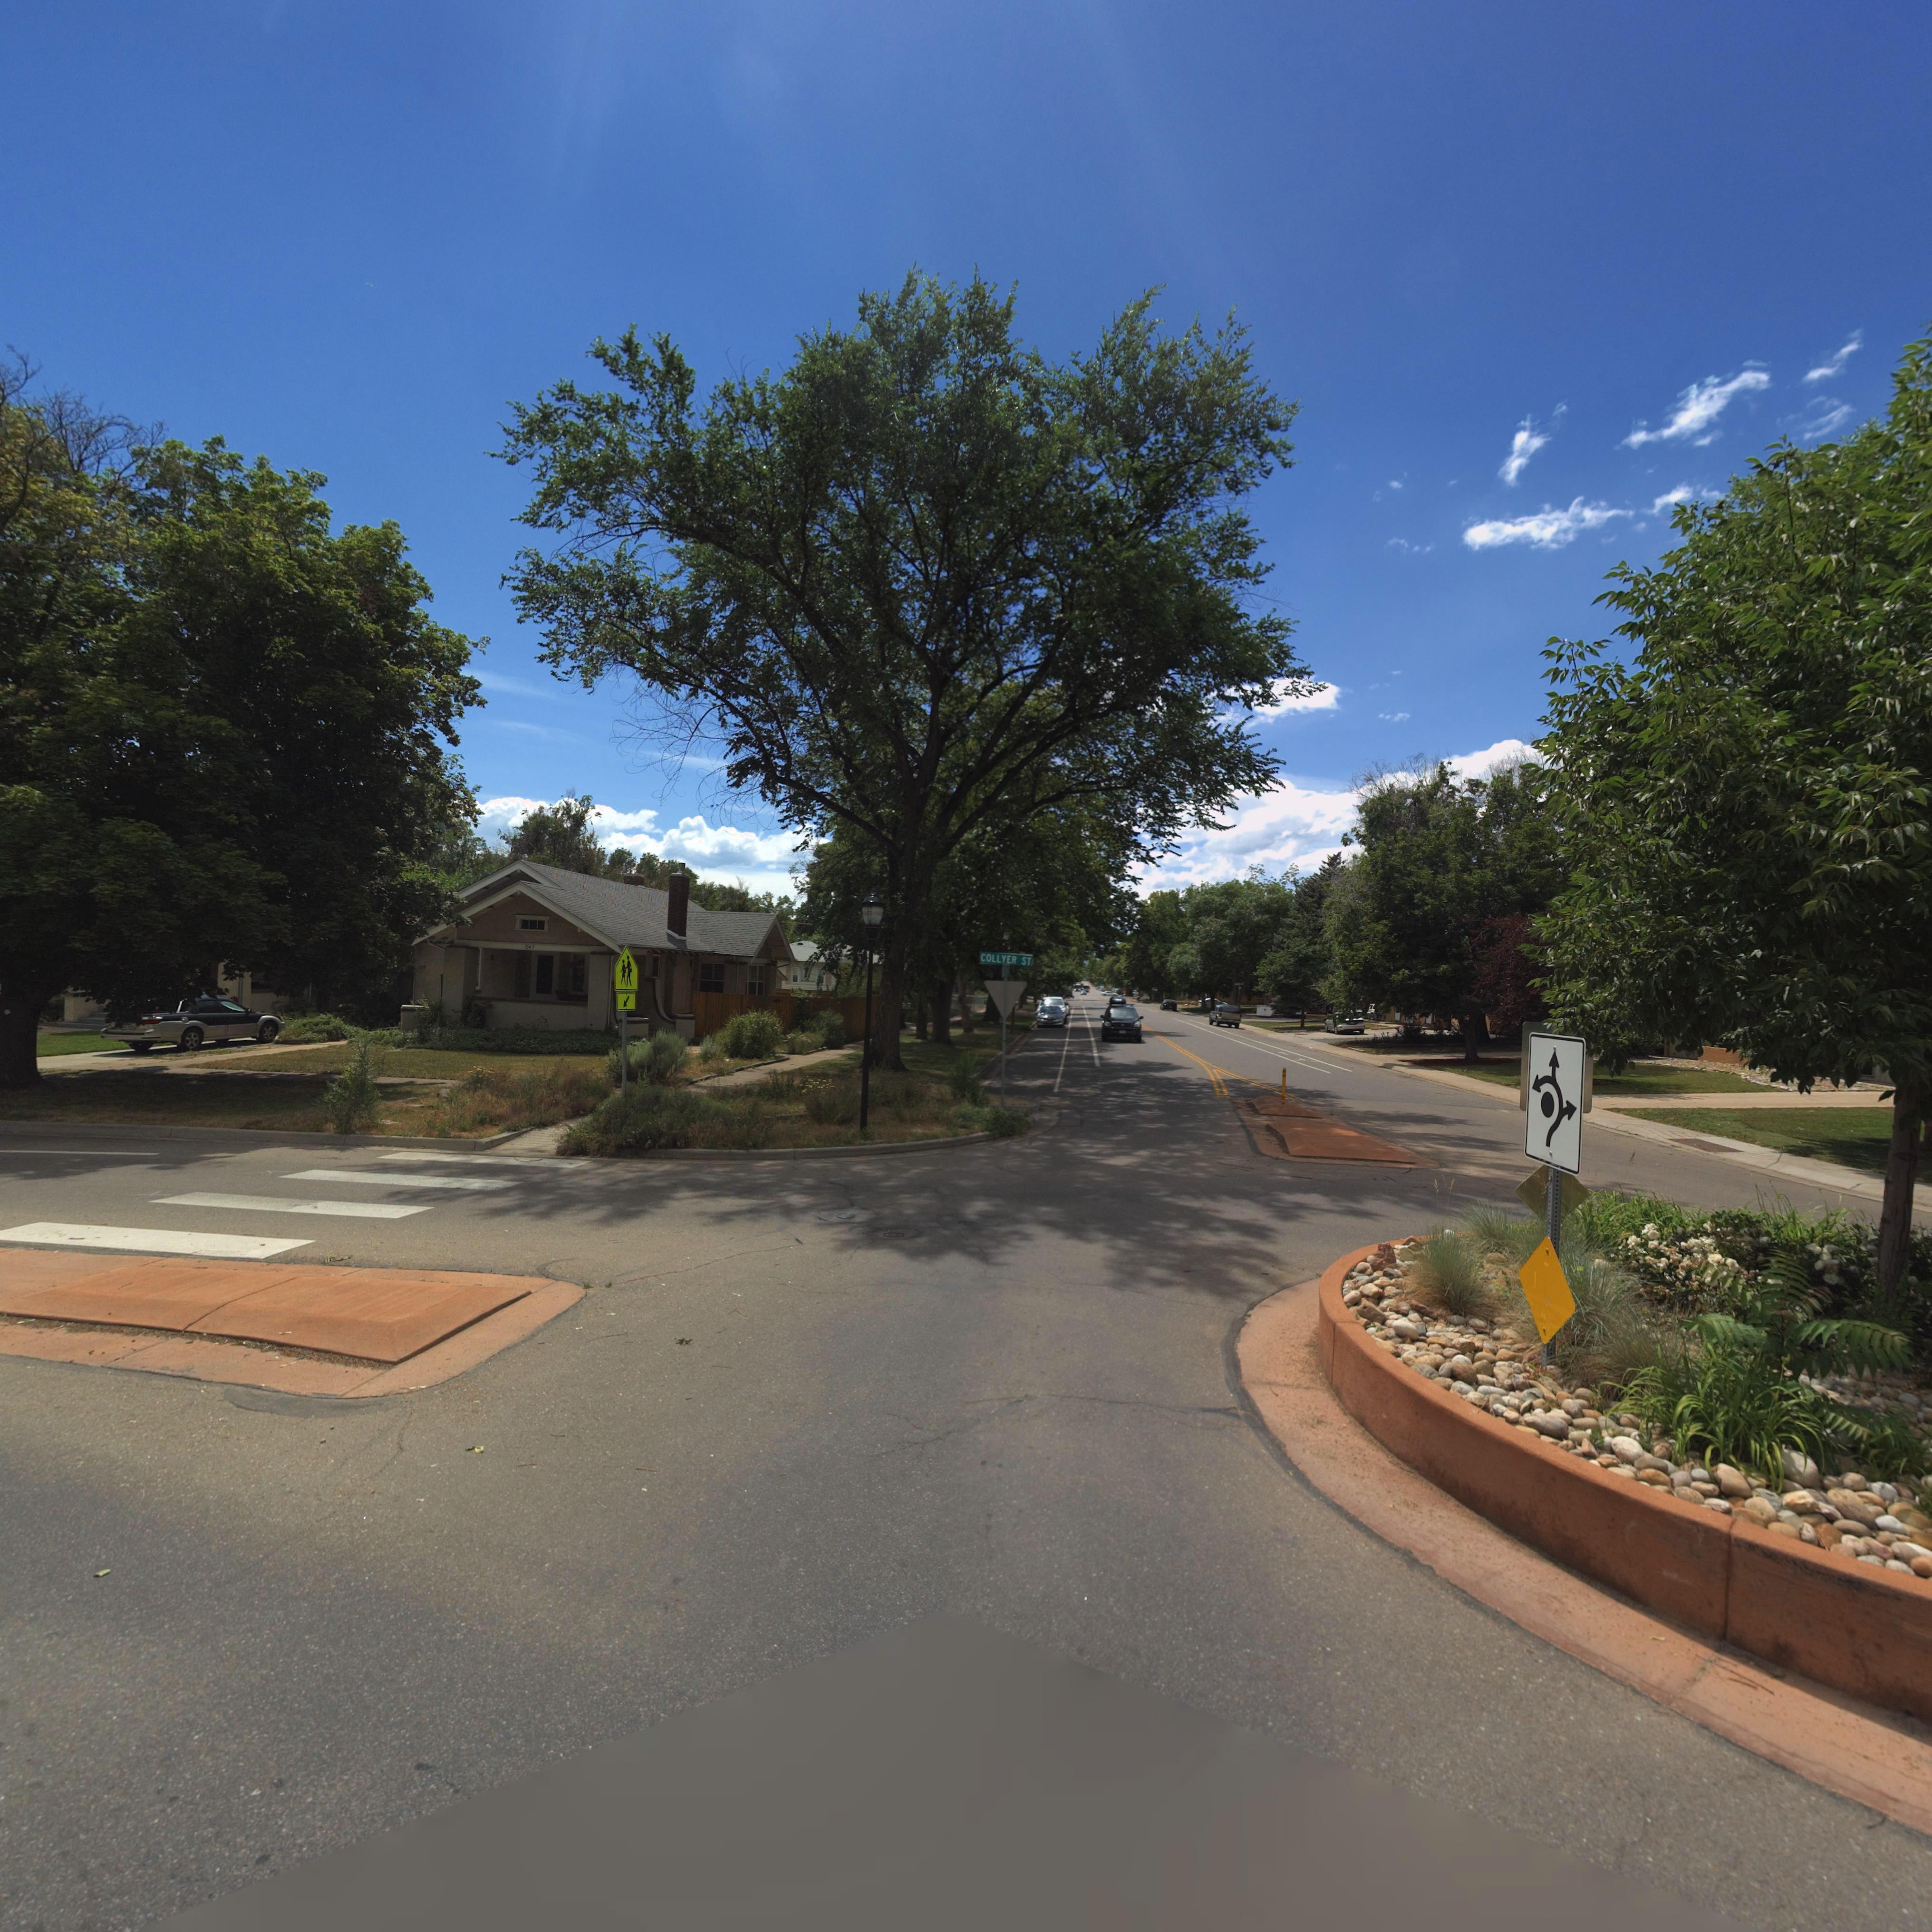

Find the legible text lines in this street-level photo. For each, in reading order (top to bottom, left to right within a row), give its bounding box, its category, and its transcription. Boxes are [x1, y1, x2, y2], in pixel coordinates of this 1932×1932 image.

[524, 943, 535, 949] StreetNumber: 647
[980, 953, 1032, 966] StreetName: COLLYER ST